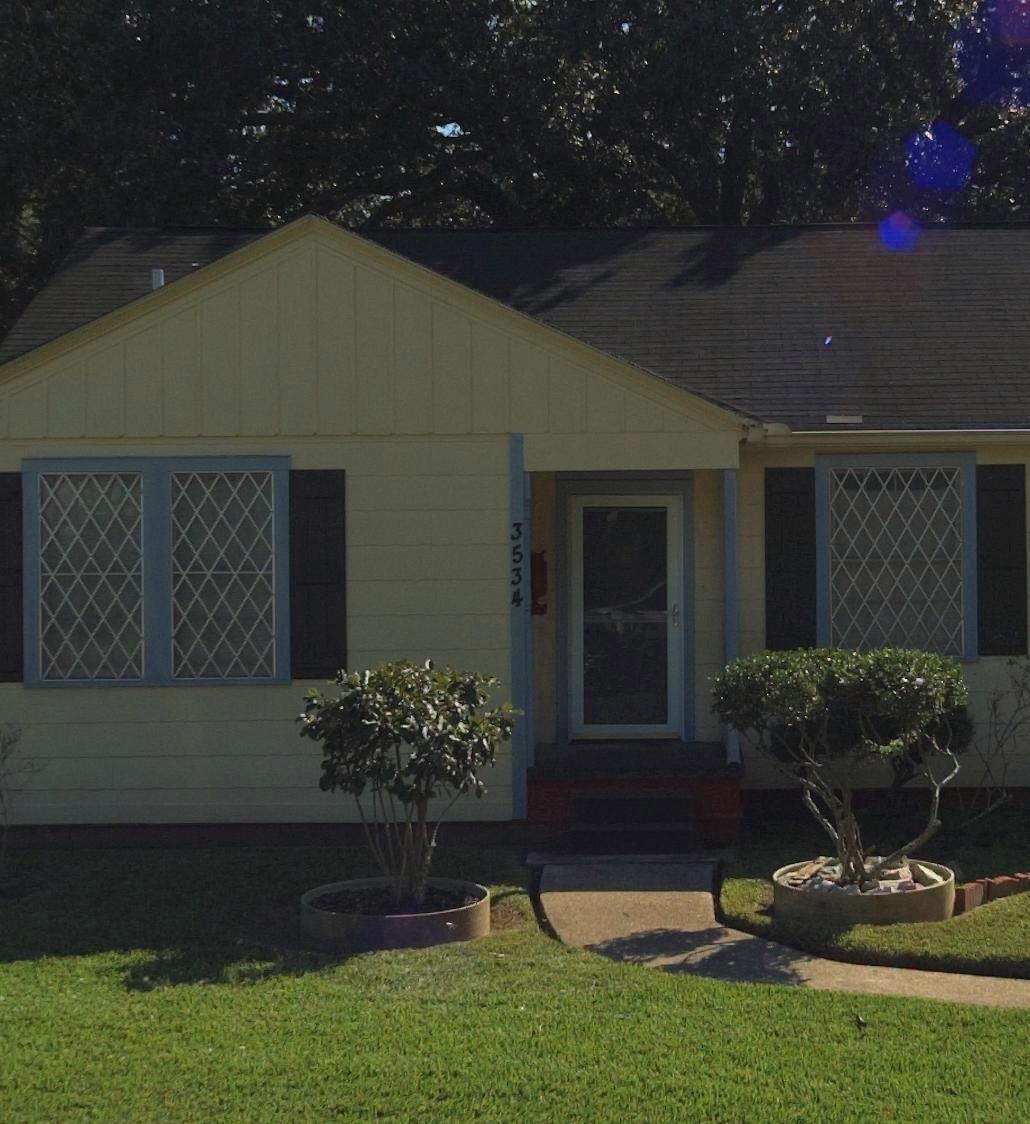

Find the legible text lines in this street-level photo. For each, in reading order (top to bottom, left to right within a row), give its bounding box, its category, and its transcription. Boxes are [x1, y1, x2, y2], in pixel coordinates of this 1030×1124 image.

[510, 521, 525, 608] StreetNumber: 3534